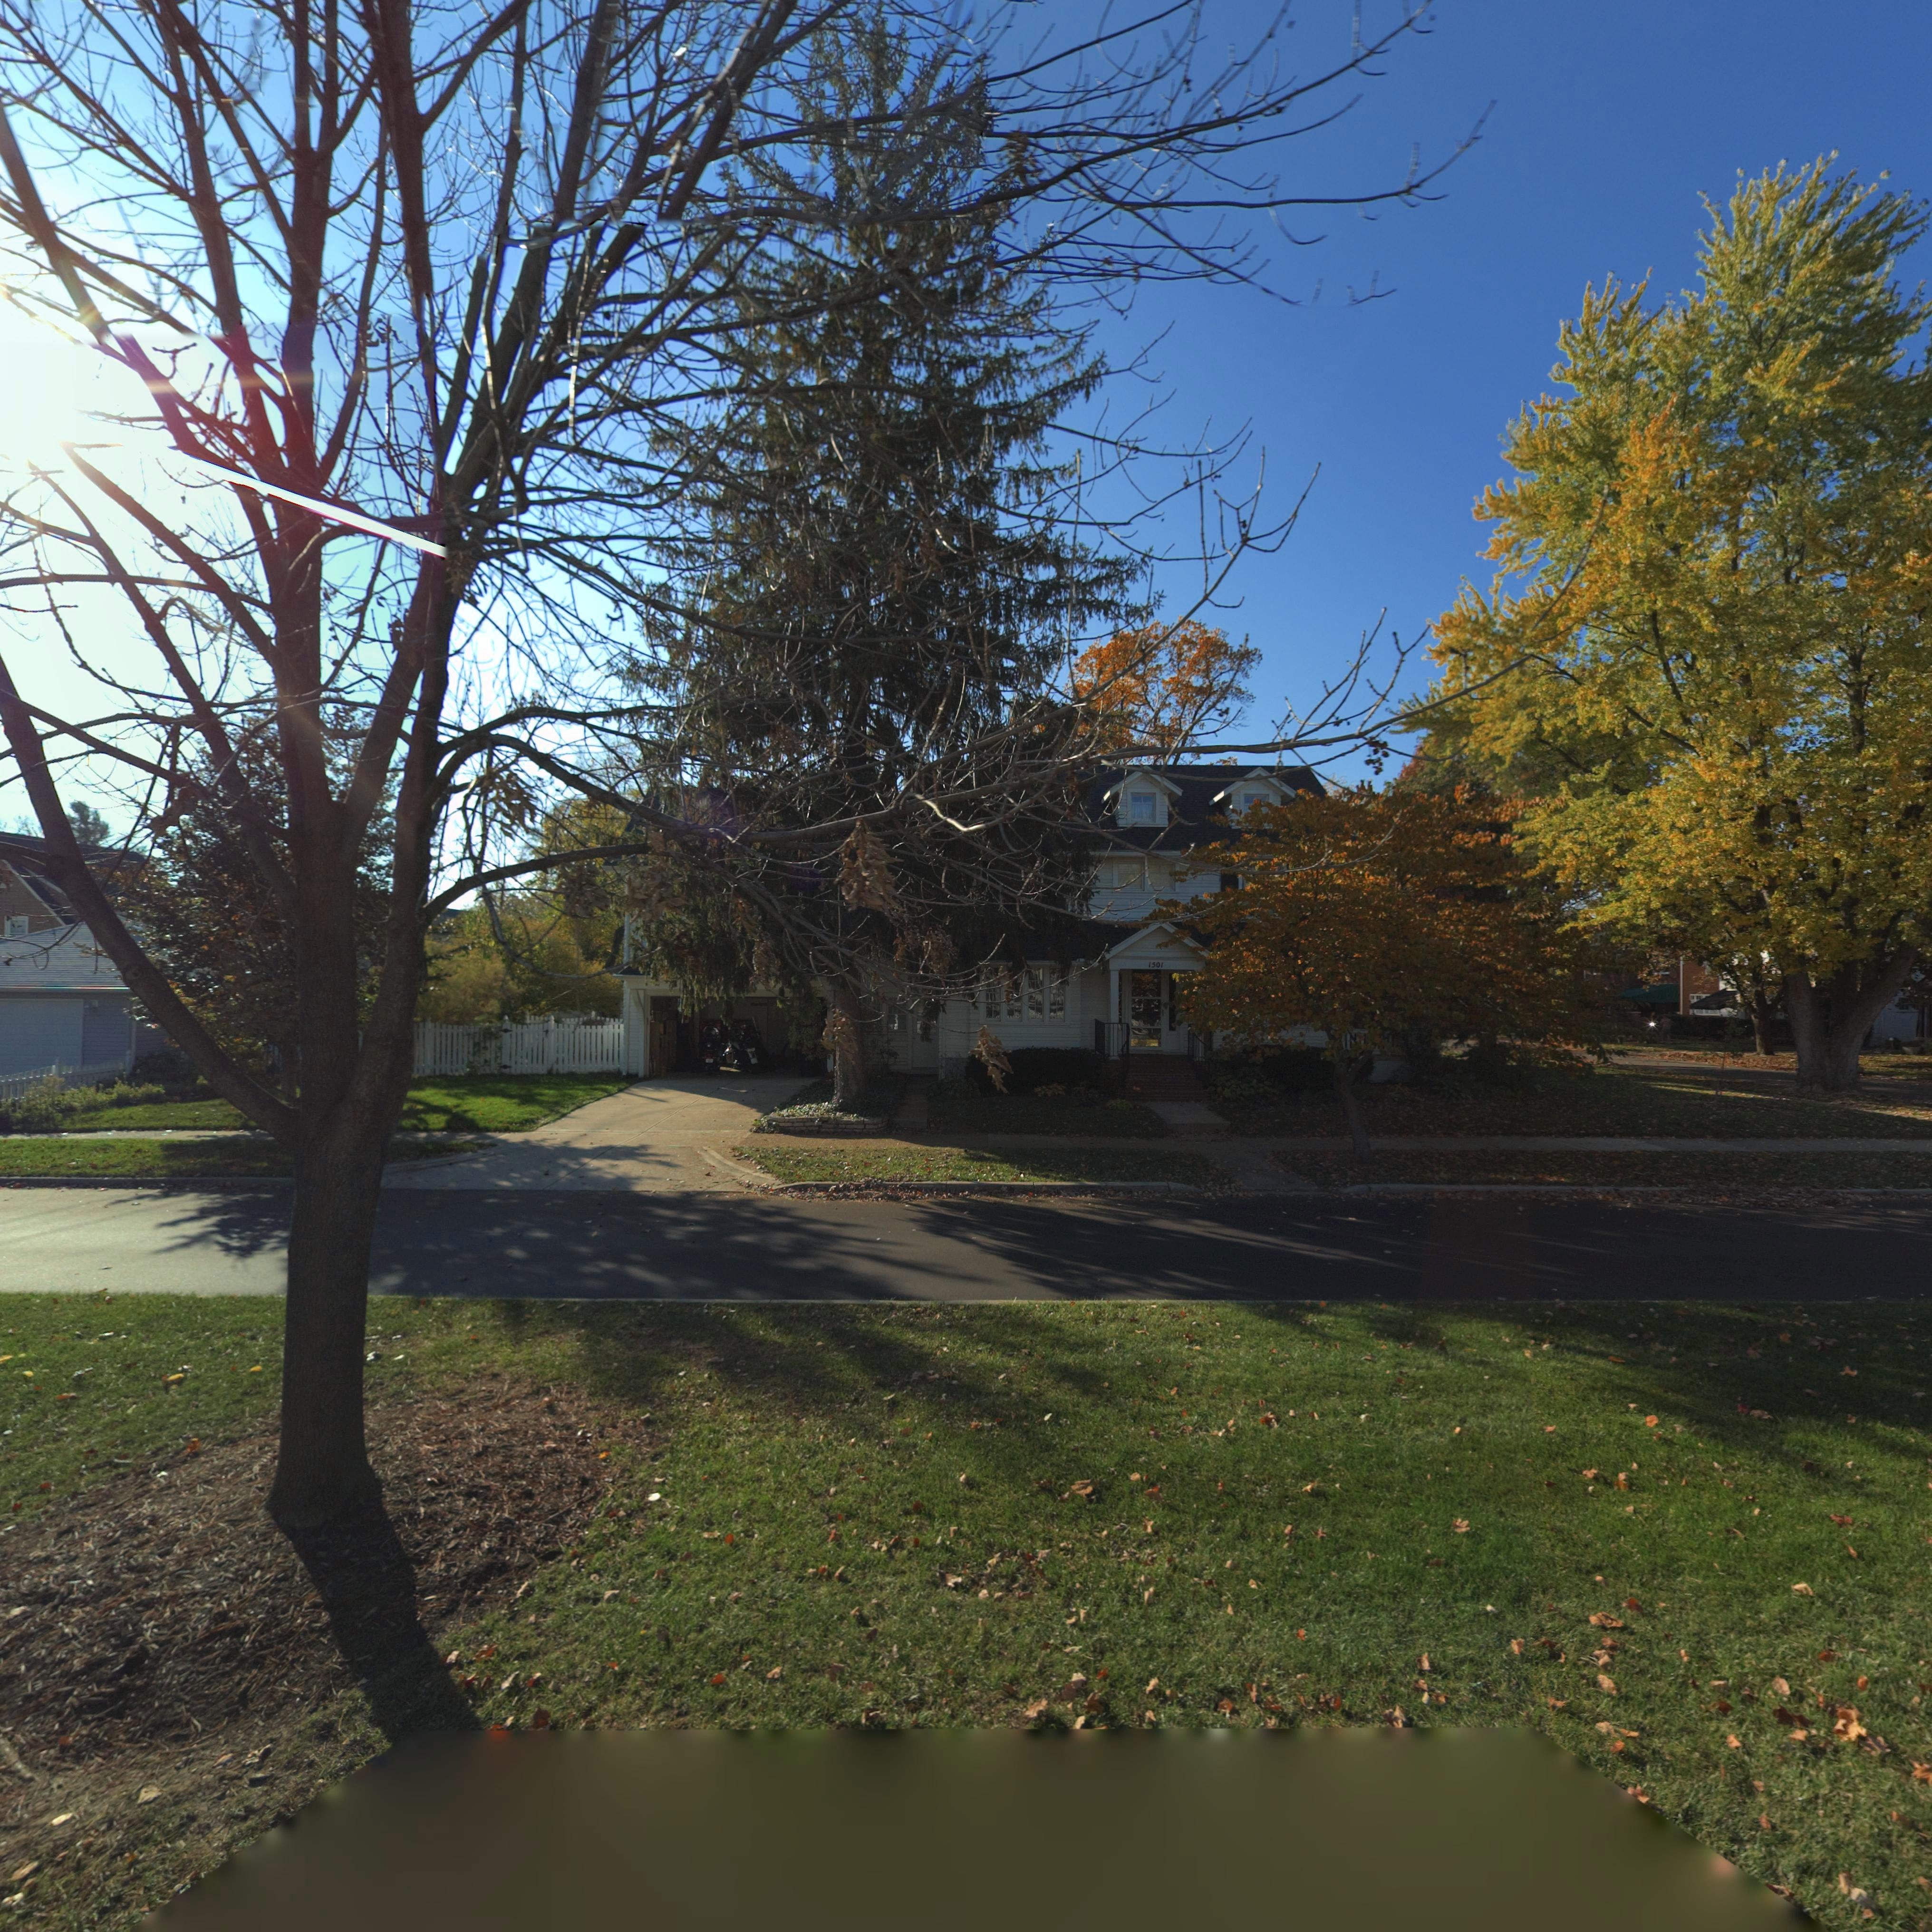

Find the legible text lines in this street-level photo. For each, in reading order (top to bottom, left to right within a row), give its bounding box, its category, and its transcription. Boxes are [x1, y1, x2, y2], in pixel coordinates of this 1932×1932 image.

[1148, 961, 1164, 968] StreetNumber: 1501